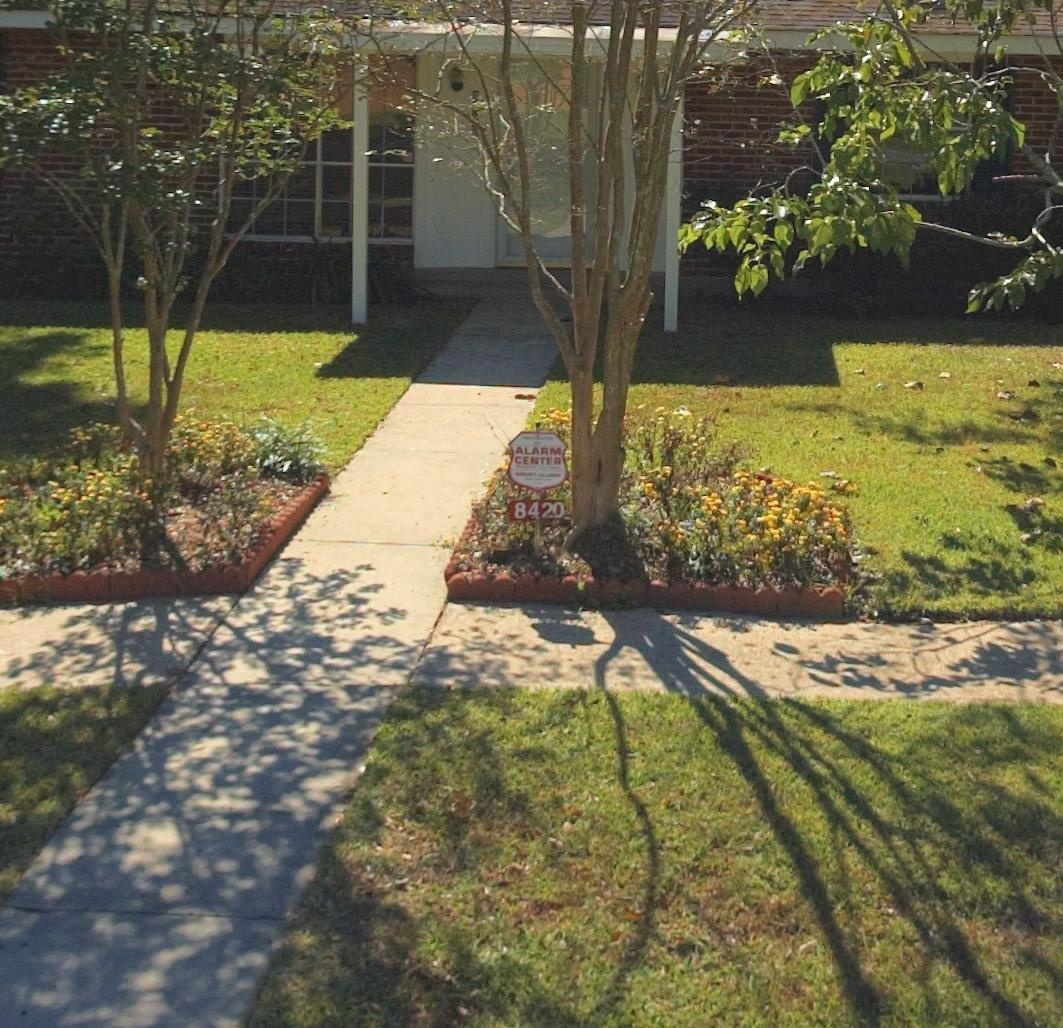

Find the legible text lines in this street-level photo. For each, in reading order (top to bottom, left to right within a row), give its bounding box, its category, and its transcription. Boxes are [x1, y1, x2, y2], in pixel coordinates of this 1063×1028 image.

[513, 444, 563, 456] None: ALARM
[513, 454, 563, 467] None: CENT**
[512, 500, 566, 521] StreetNumber: 8420